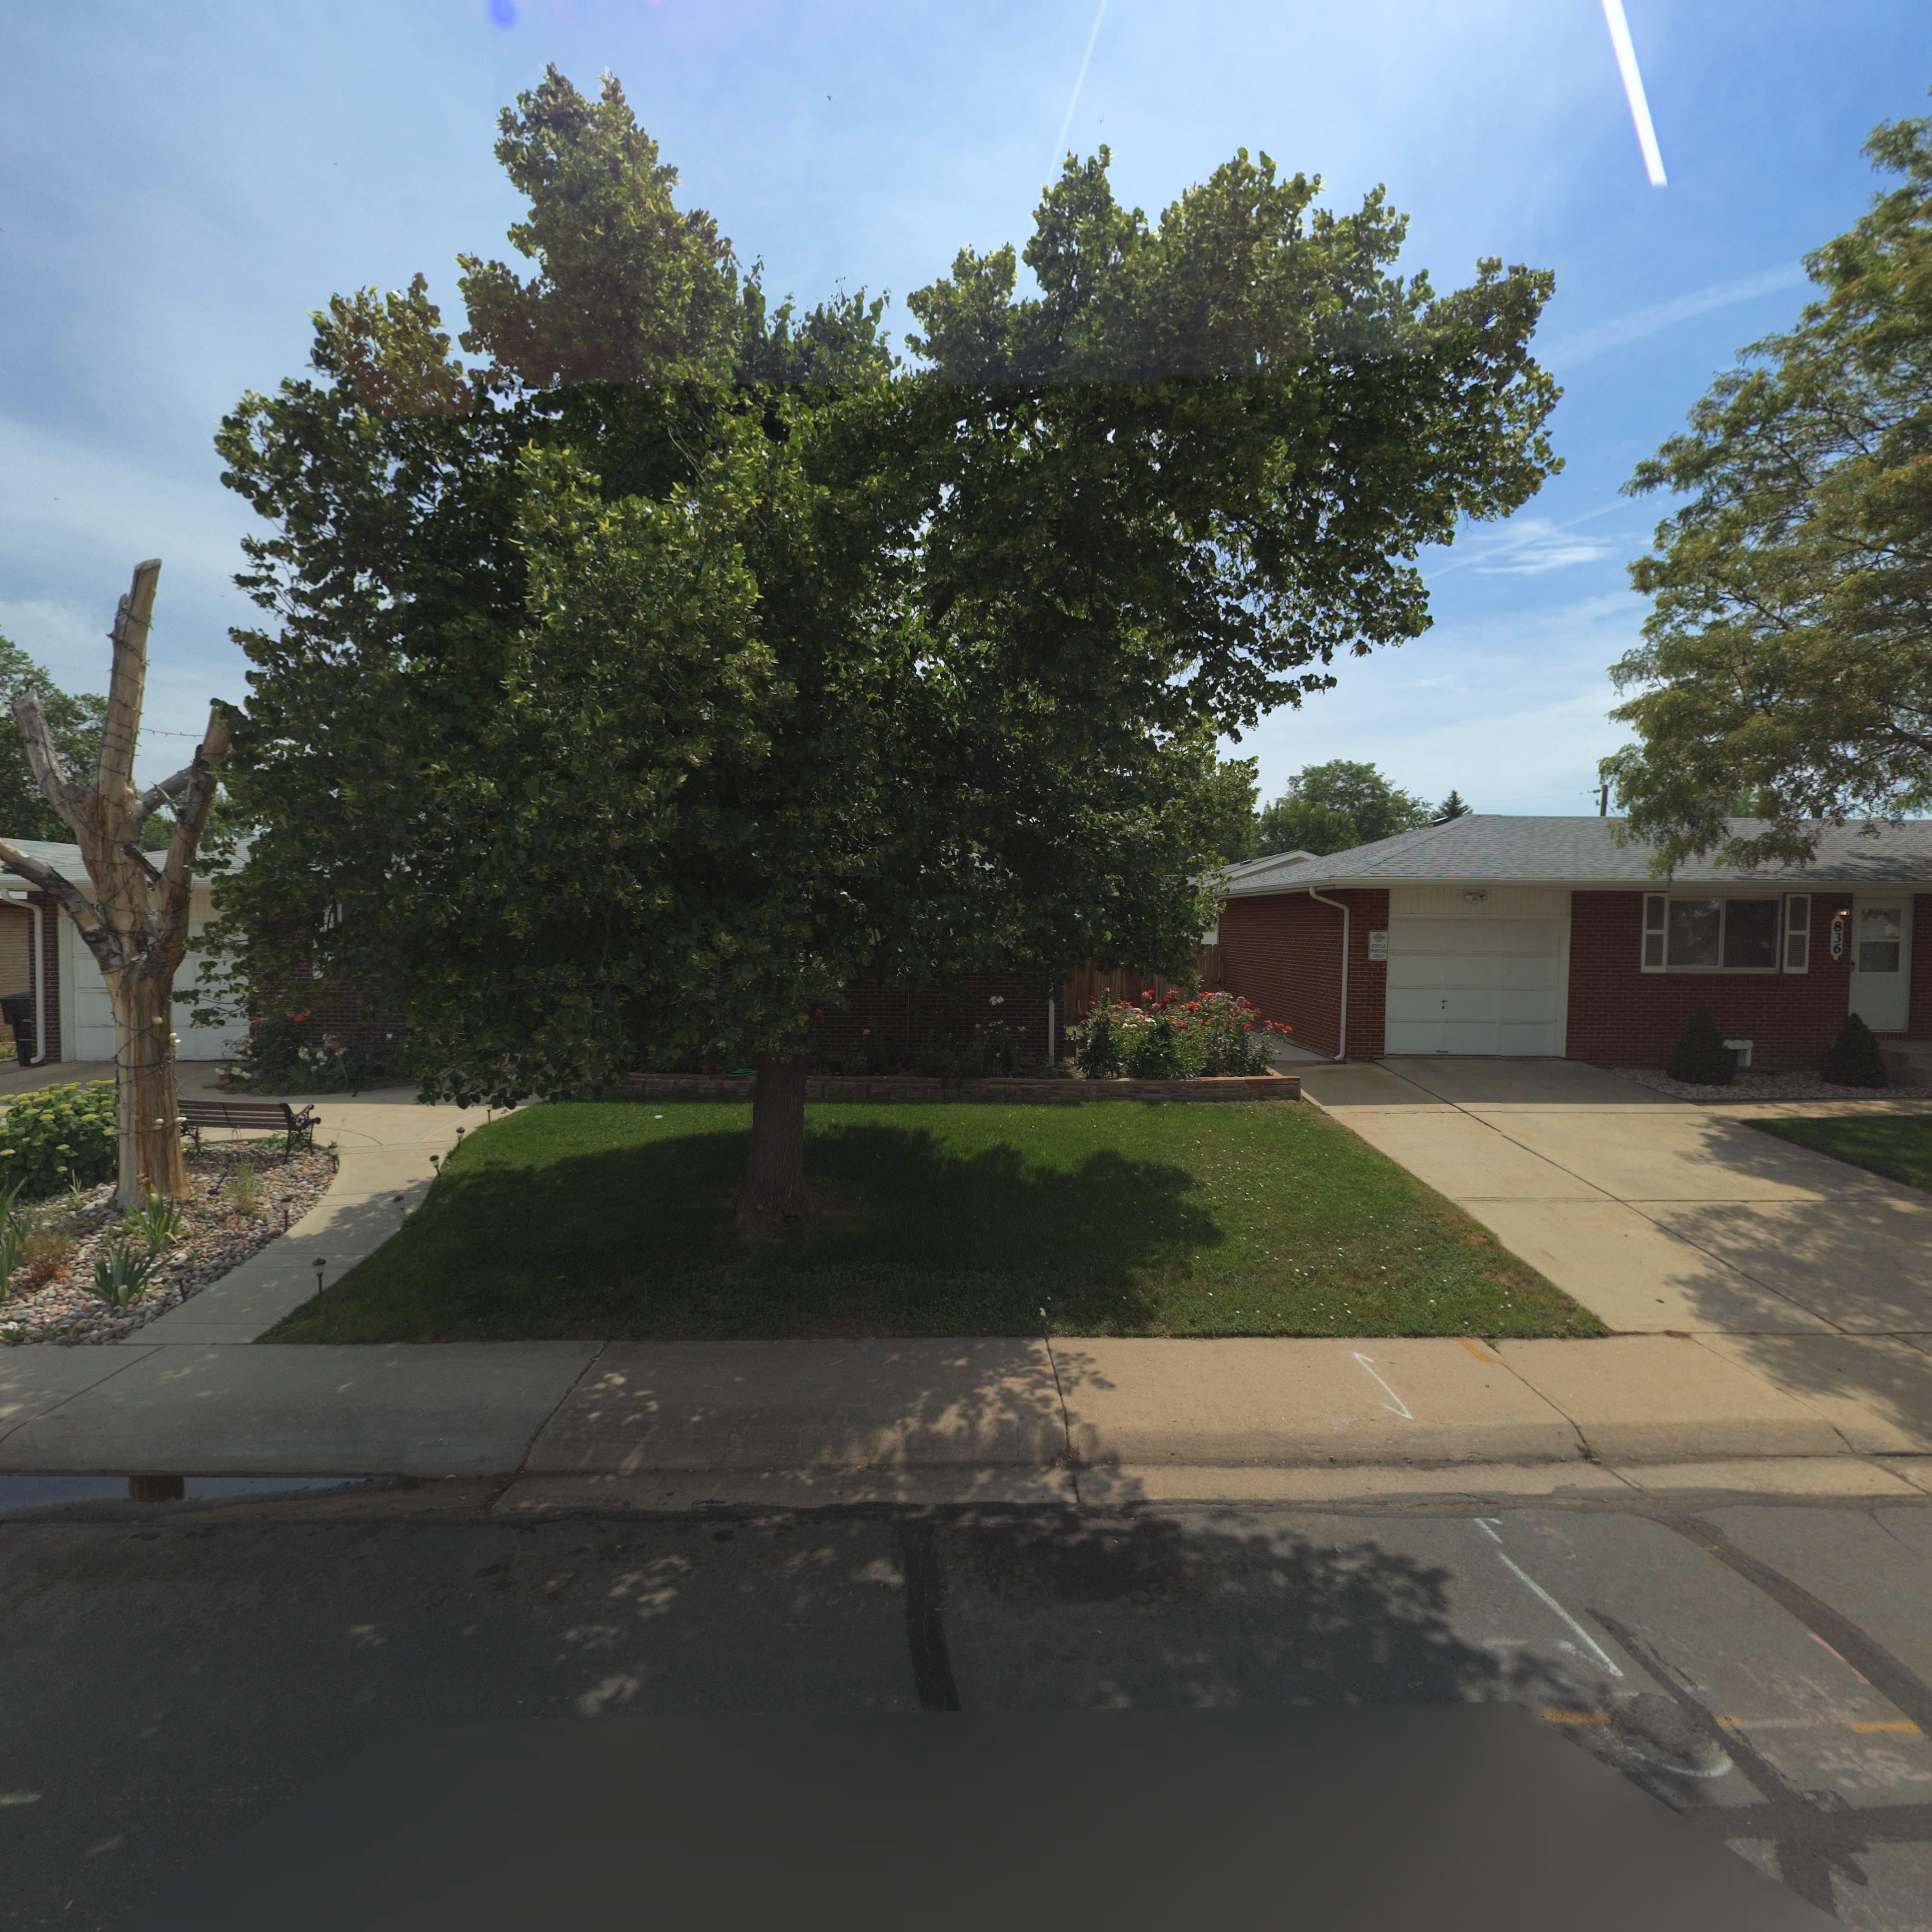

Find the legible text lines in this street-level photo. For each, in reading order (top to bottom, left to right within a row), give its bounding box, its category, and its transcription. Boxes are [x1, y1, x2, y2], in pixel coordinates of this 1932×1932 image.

[1832, 920, 1842, 954] StreetNumber: 836